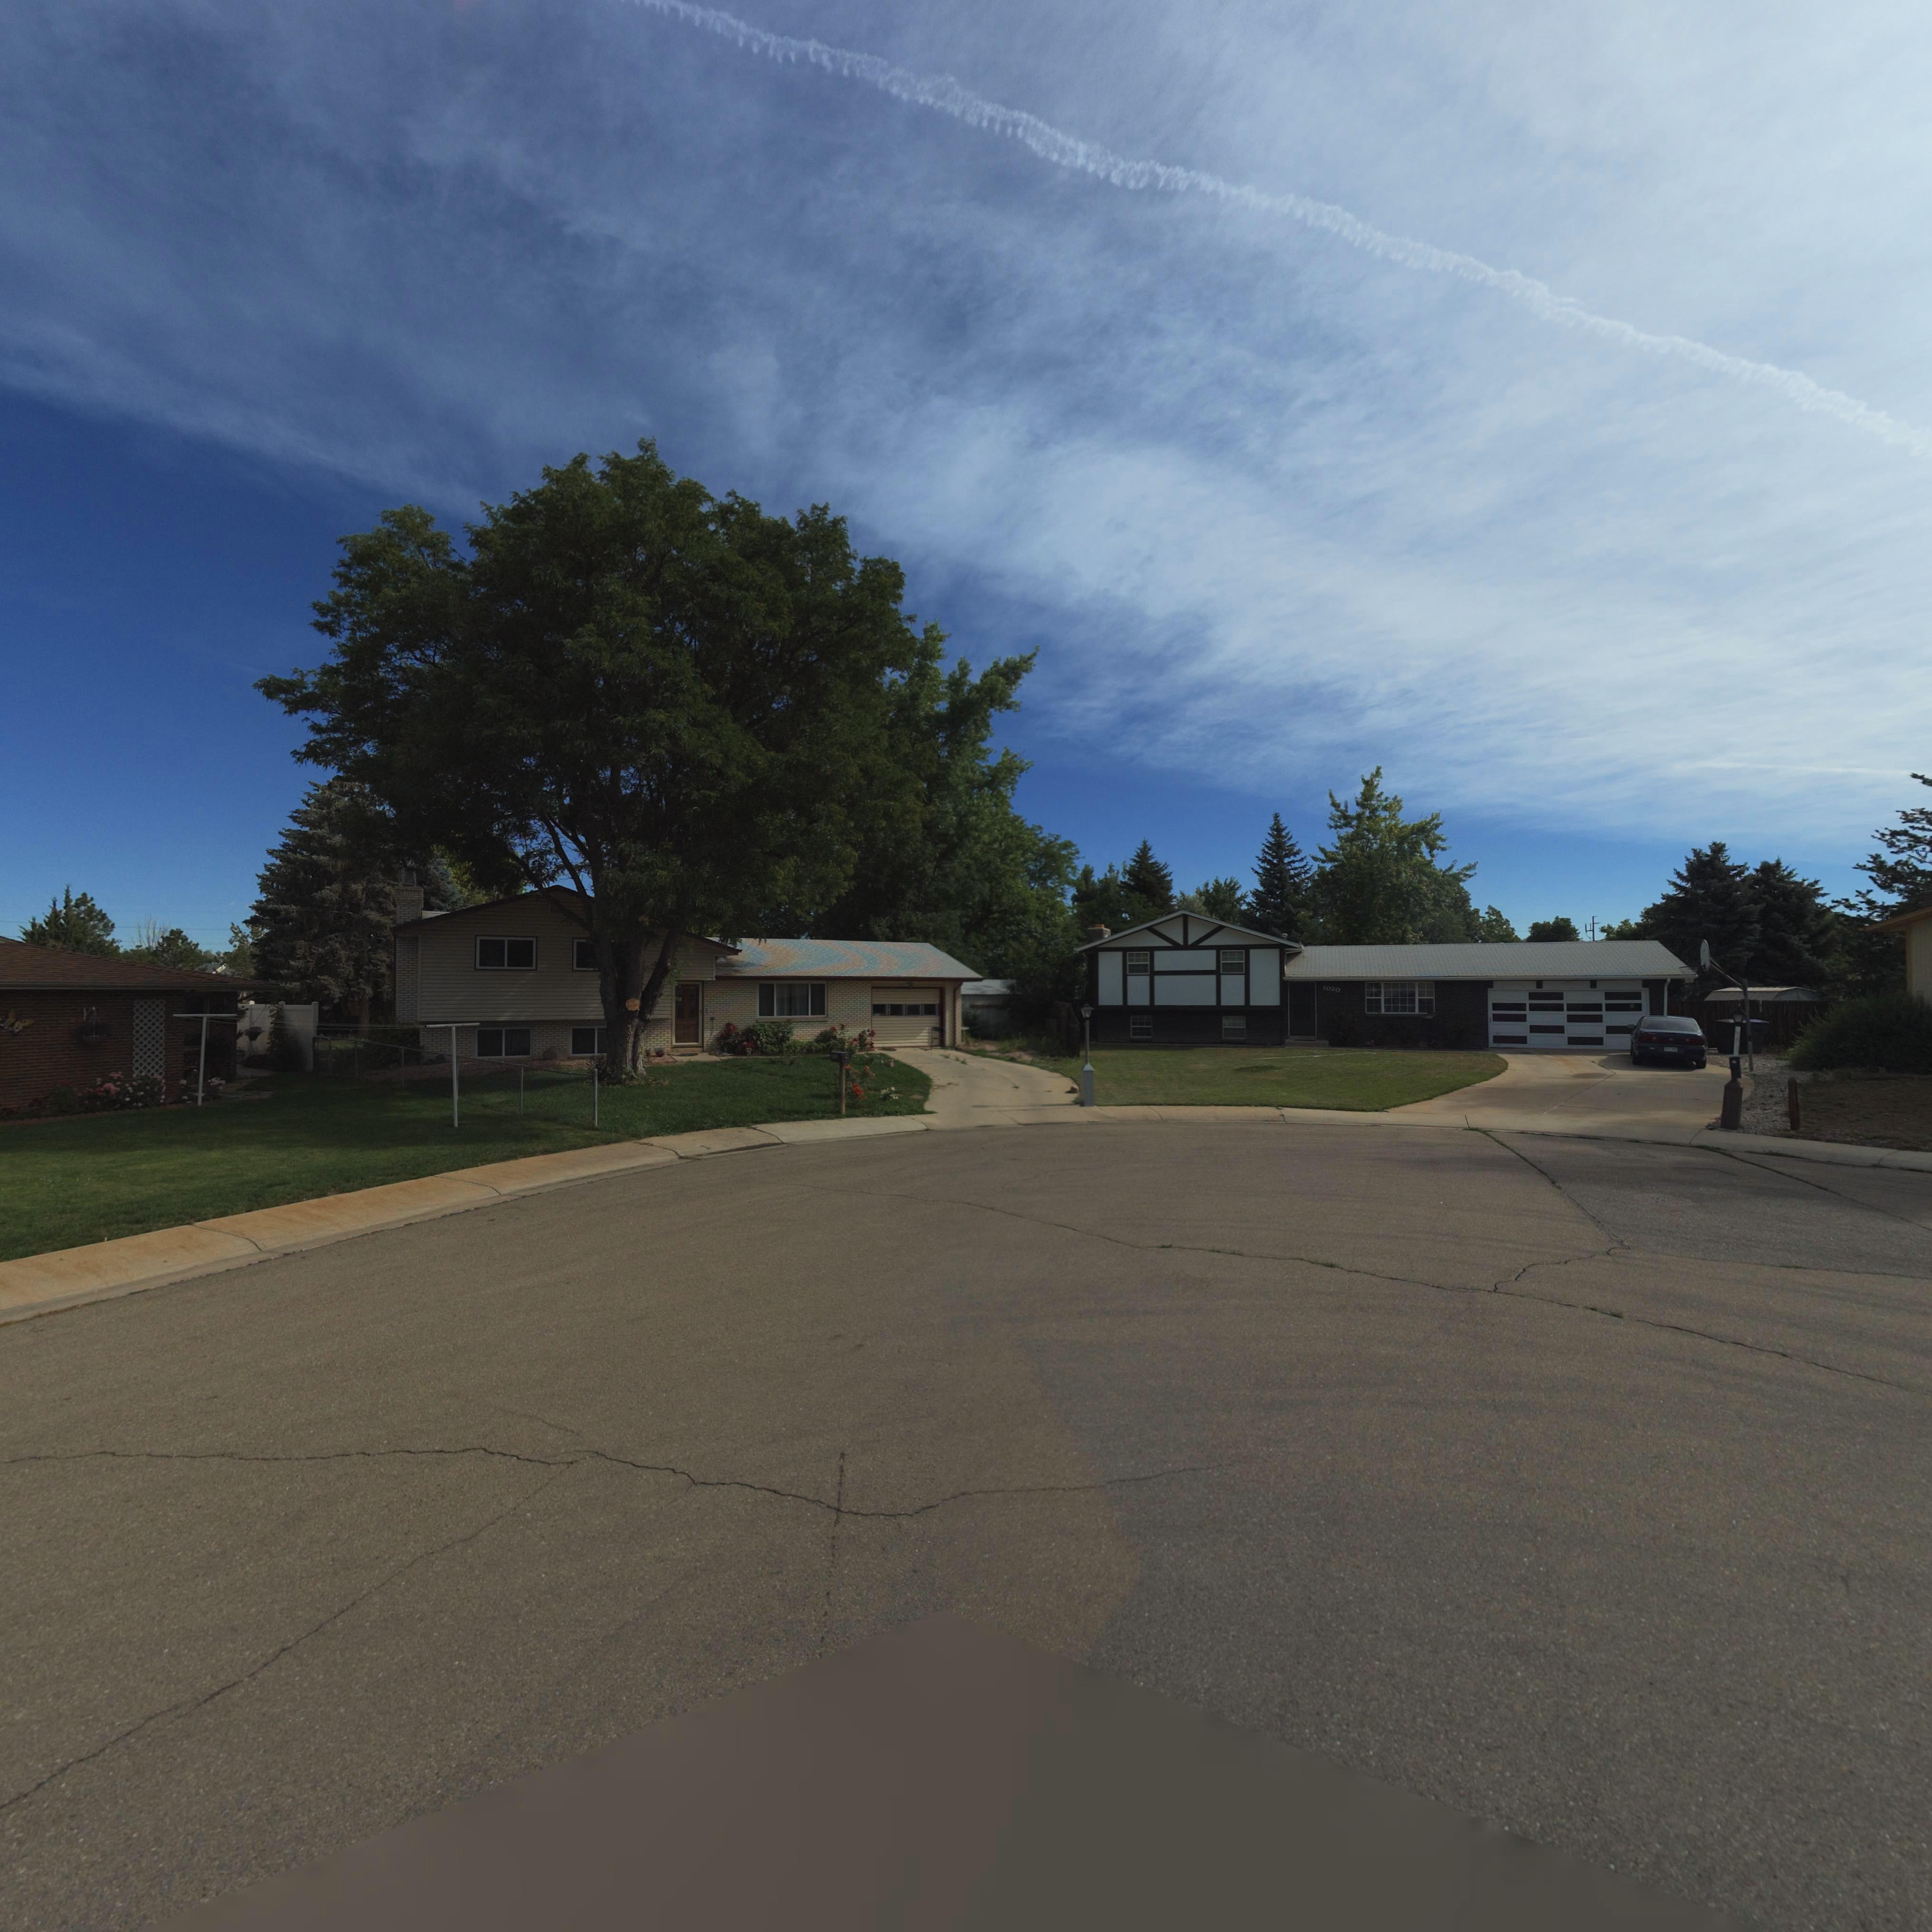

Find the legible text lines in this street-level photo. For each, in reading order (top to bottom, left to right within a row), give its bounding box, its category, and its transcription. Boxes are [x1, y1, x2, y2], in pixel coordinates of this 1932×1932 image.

[1323, 985, 1341, 992] StreetNumber: 1020